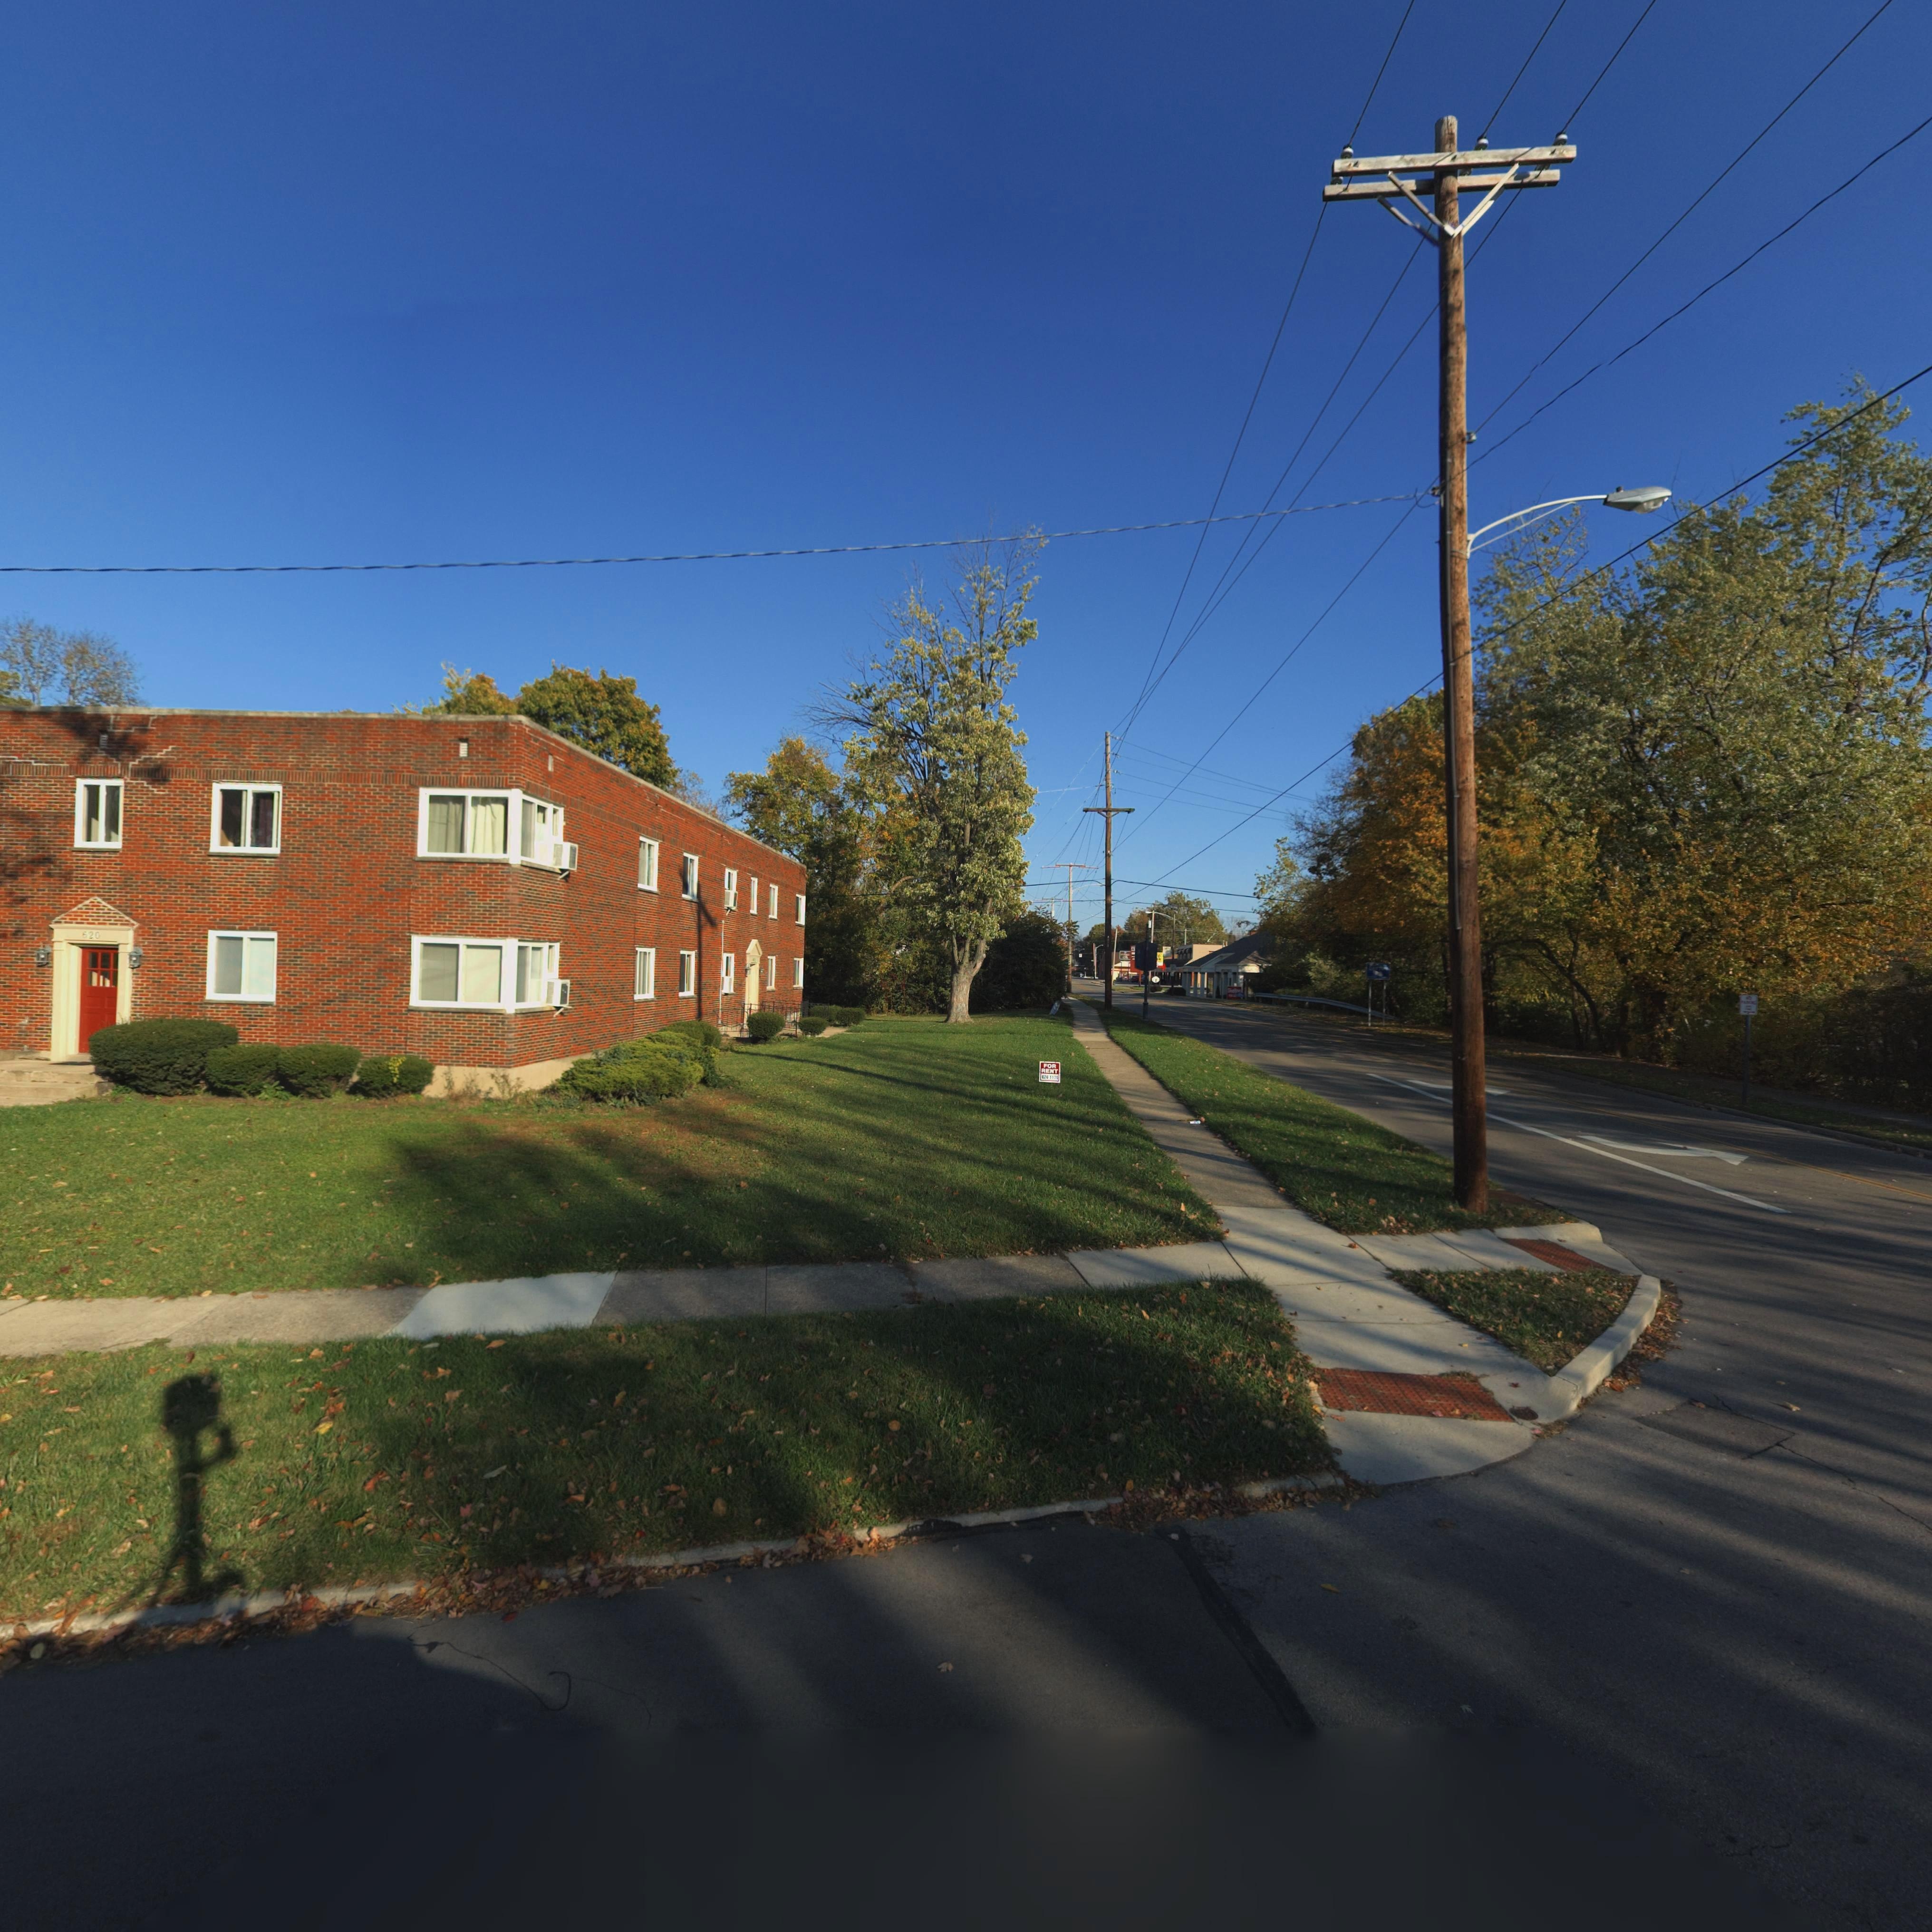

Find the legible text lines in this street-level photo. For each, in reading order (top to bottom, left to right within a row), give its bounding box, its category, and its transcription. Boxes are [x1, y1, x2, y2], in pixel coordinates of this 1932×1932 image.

[80, 930, 100, 938] StreetNumber: 620